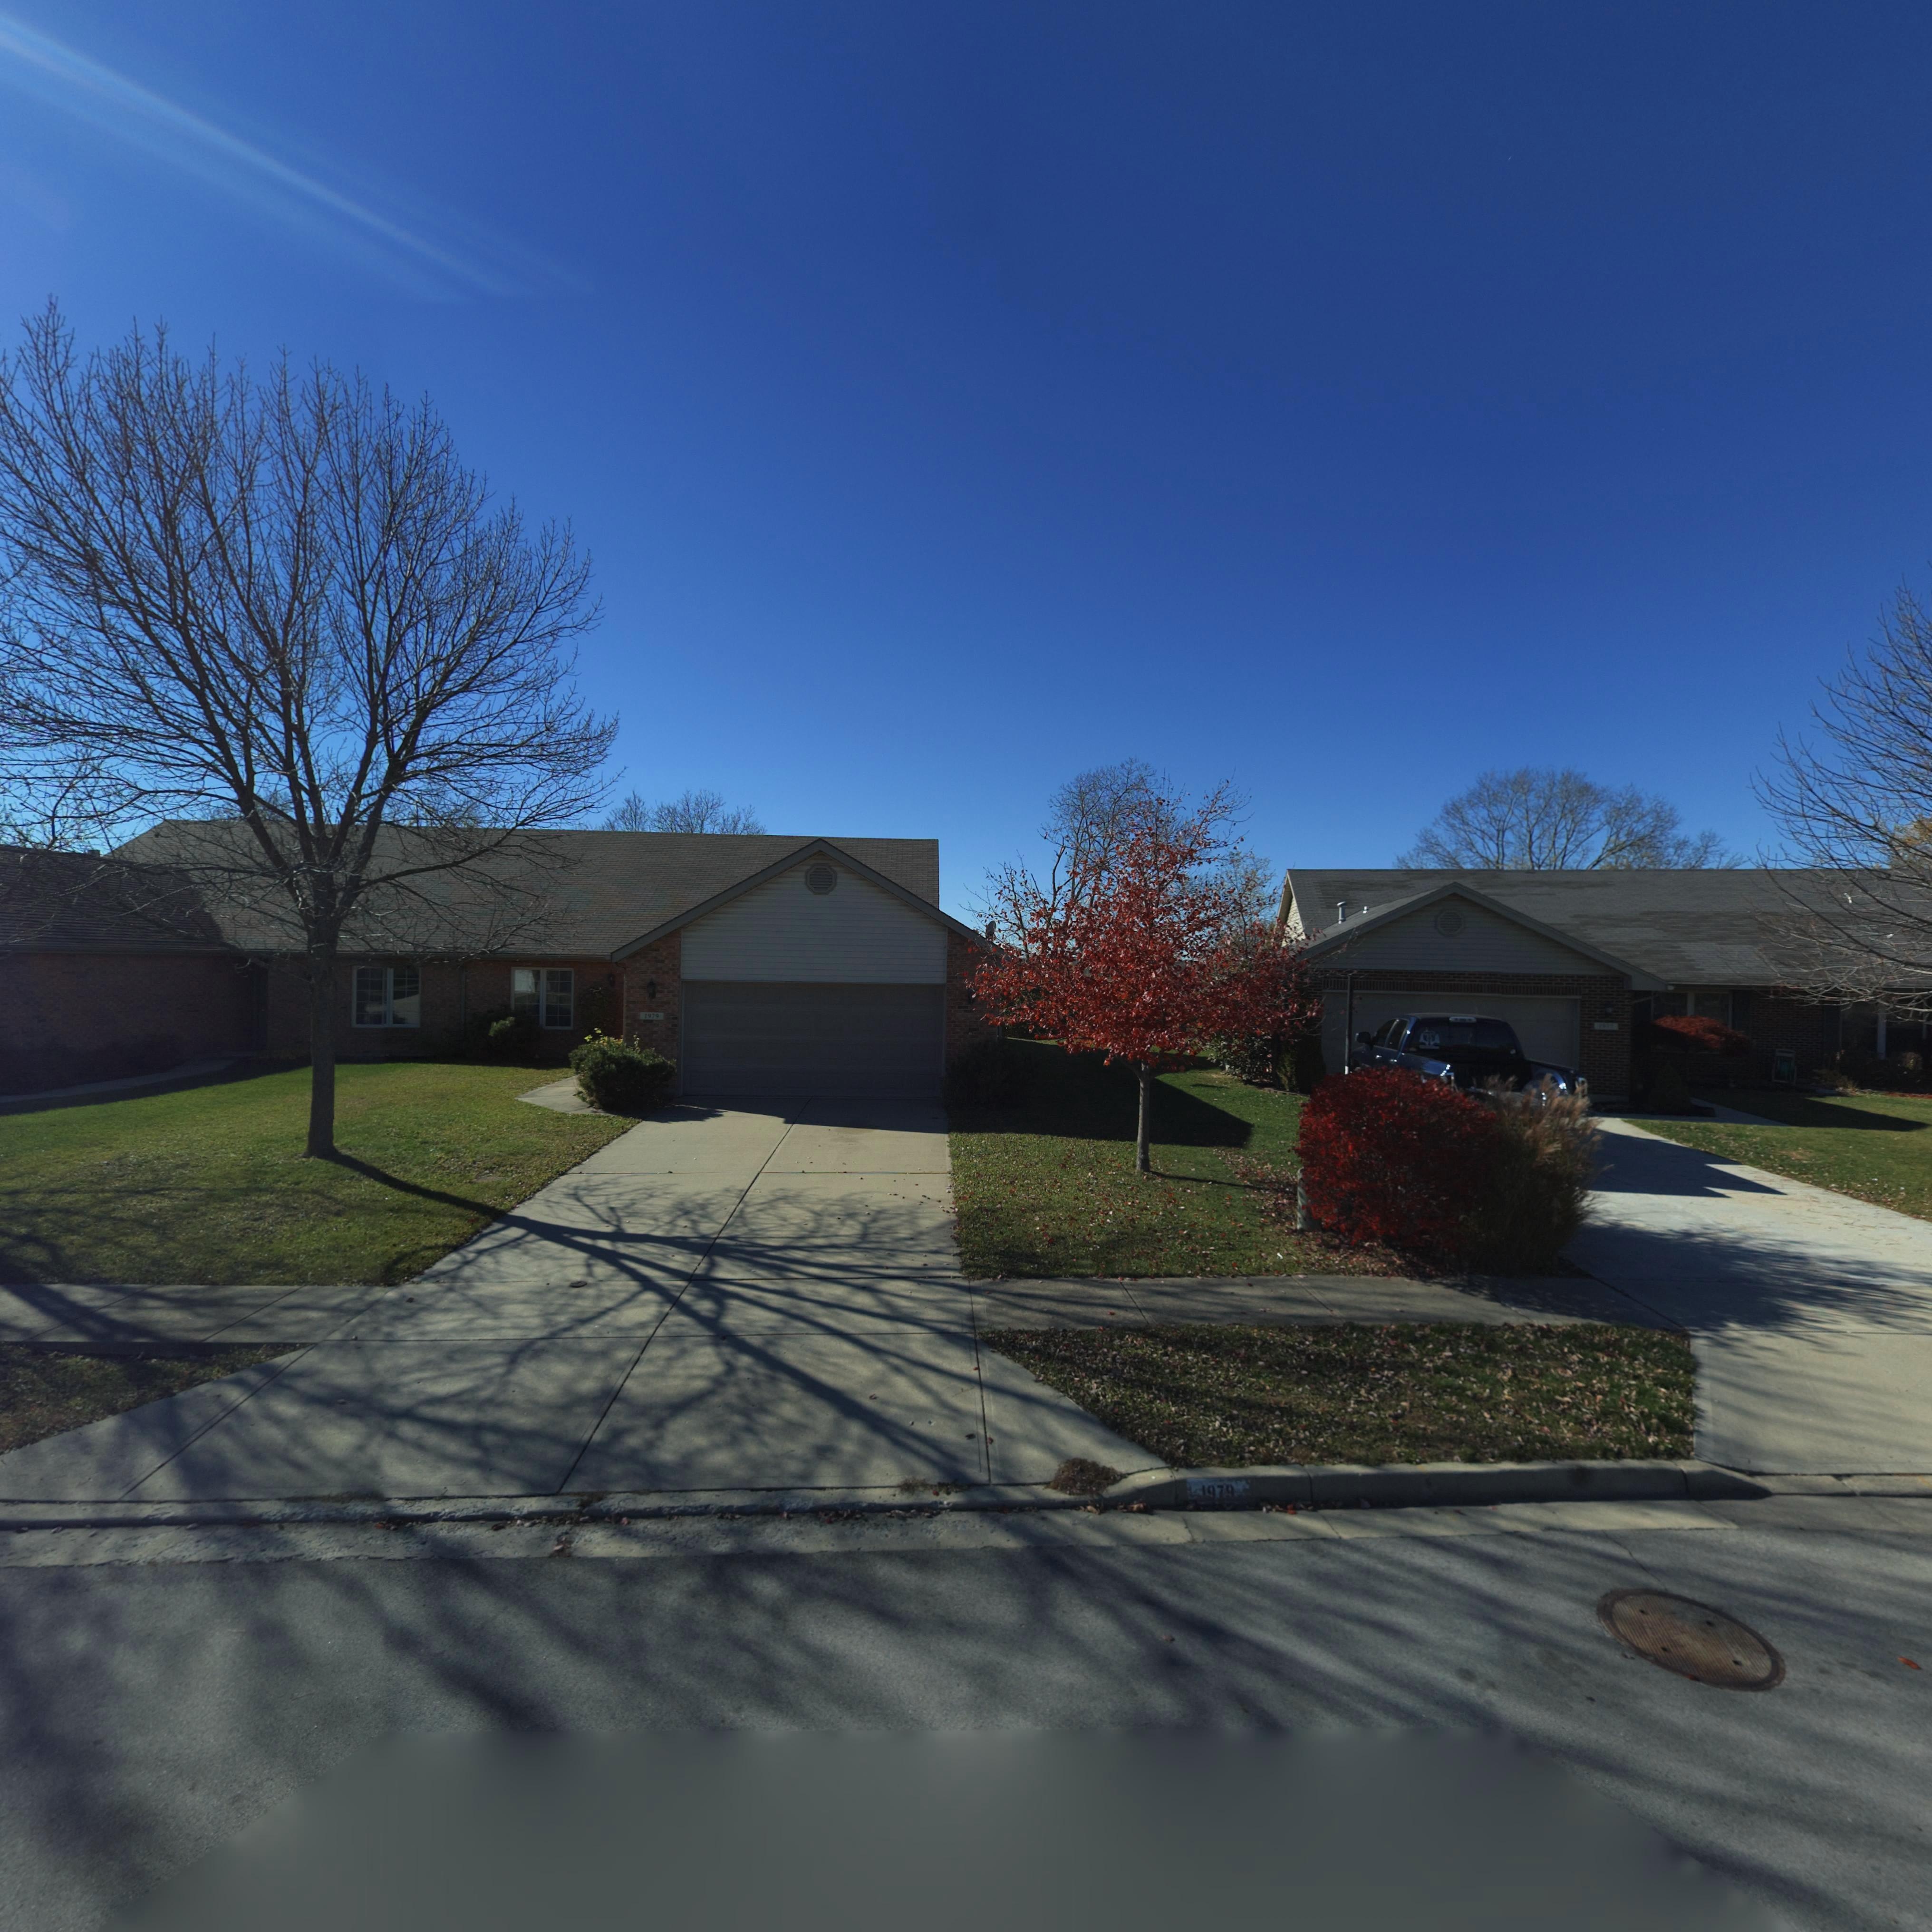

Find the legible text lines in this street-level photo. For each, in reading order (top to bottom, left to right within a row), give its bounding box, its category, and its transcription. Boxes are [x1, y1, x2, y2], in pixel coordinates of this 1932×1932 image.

[644, 1013, 660, 1019] StreetNumber: 1979
[1200, 1482, 1236, 1502] StreetNumber: *979